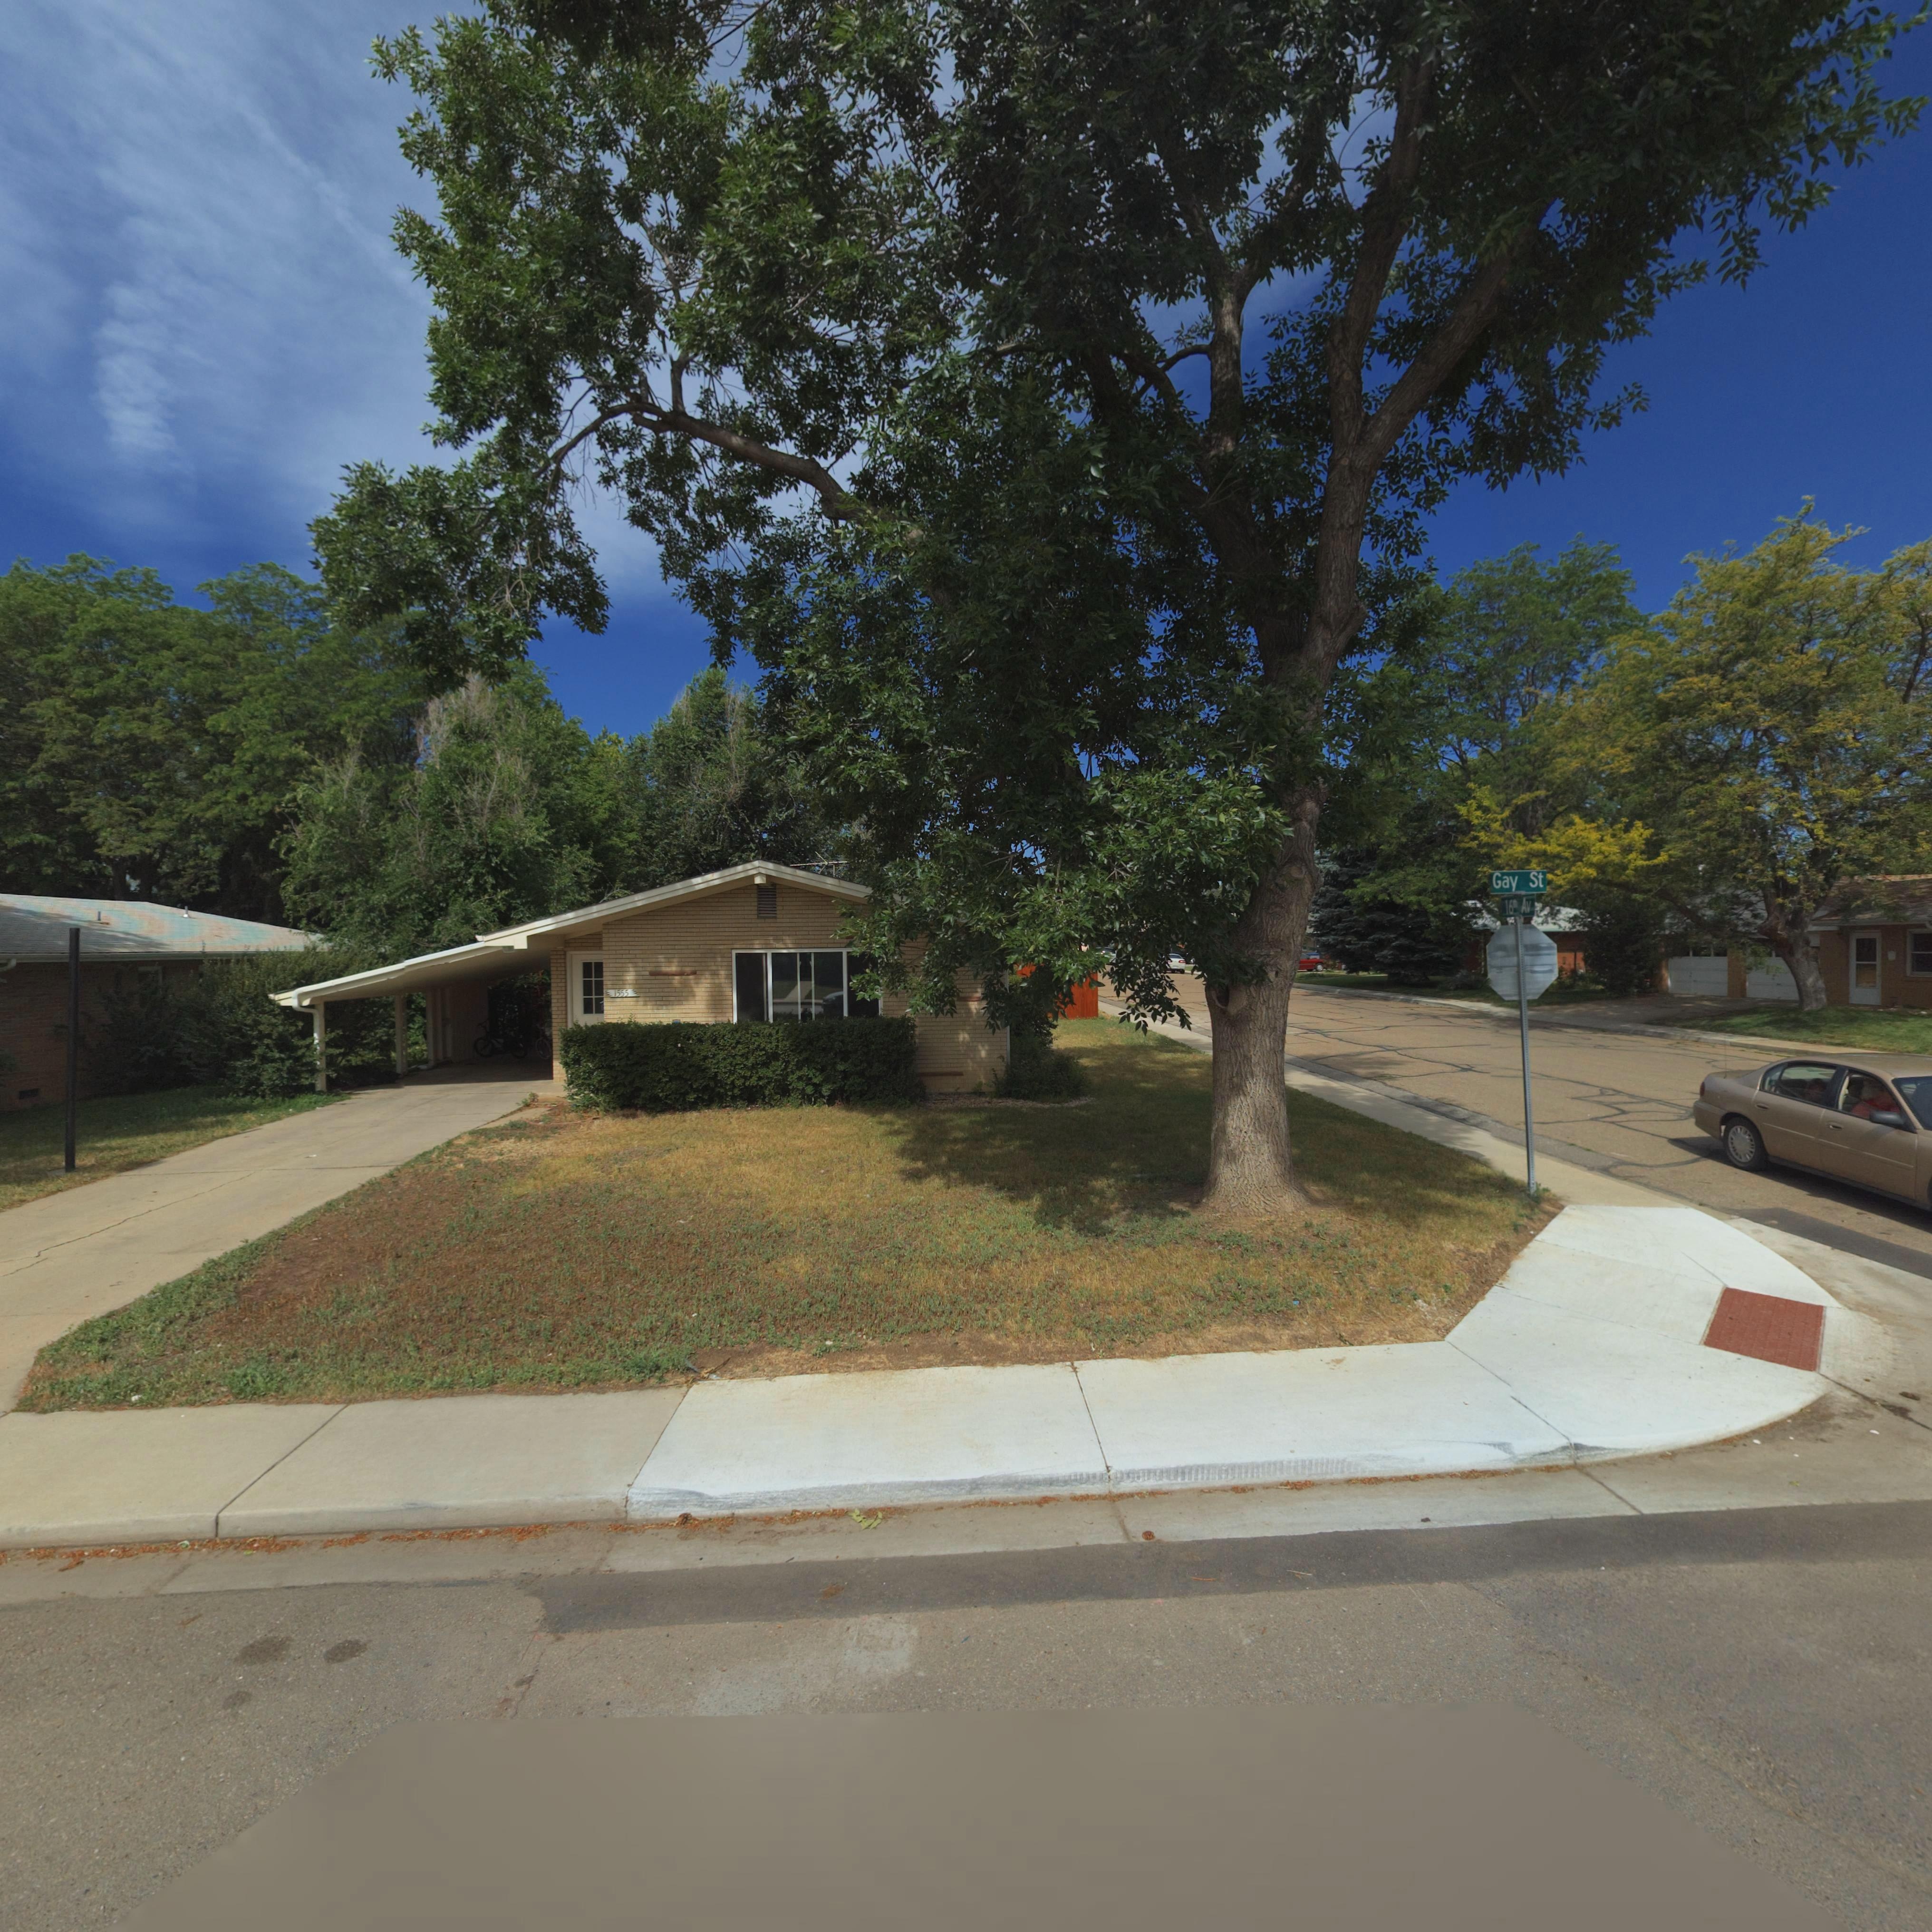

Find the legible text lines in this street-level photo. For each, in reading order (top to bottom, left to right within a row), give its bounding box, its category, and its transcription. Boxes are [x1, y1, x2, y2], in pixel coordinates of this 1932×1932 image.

[1492, 871, 1545, 892] StreetName: Gay St
[1505, 897, 1532, 915] StreetName: 16th Av
[614, 989, 628, 997] StreetNumber: 1555